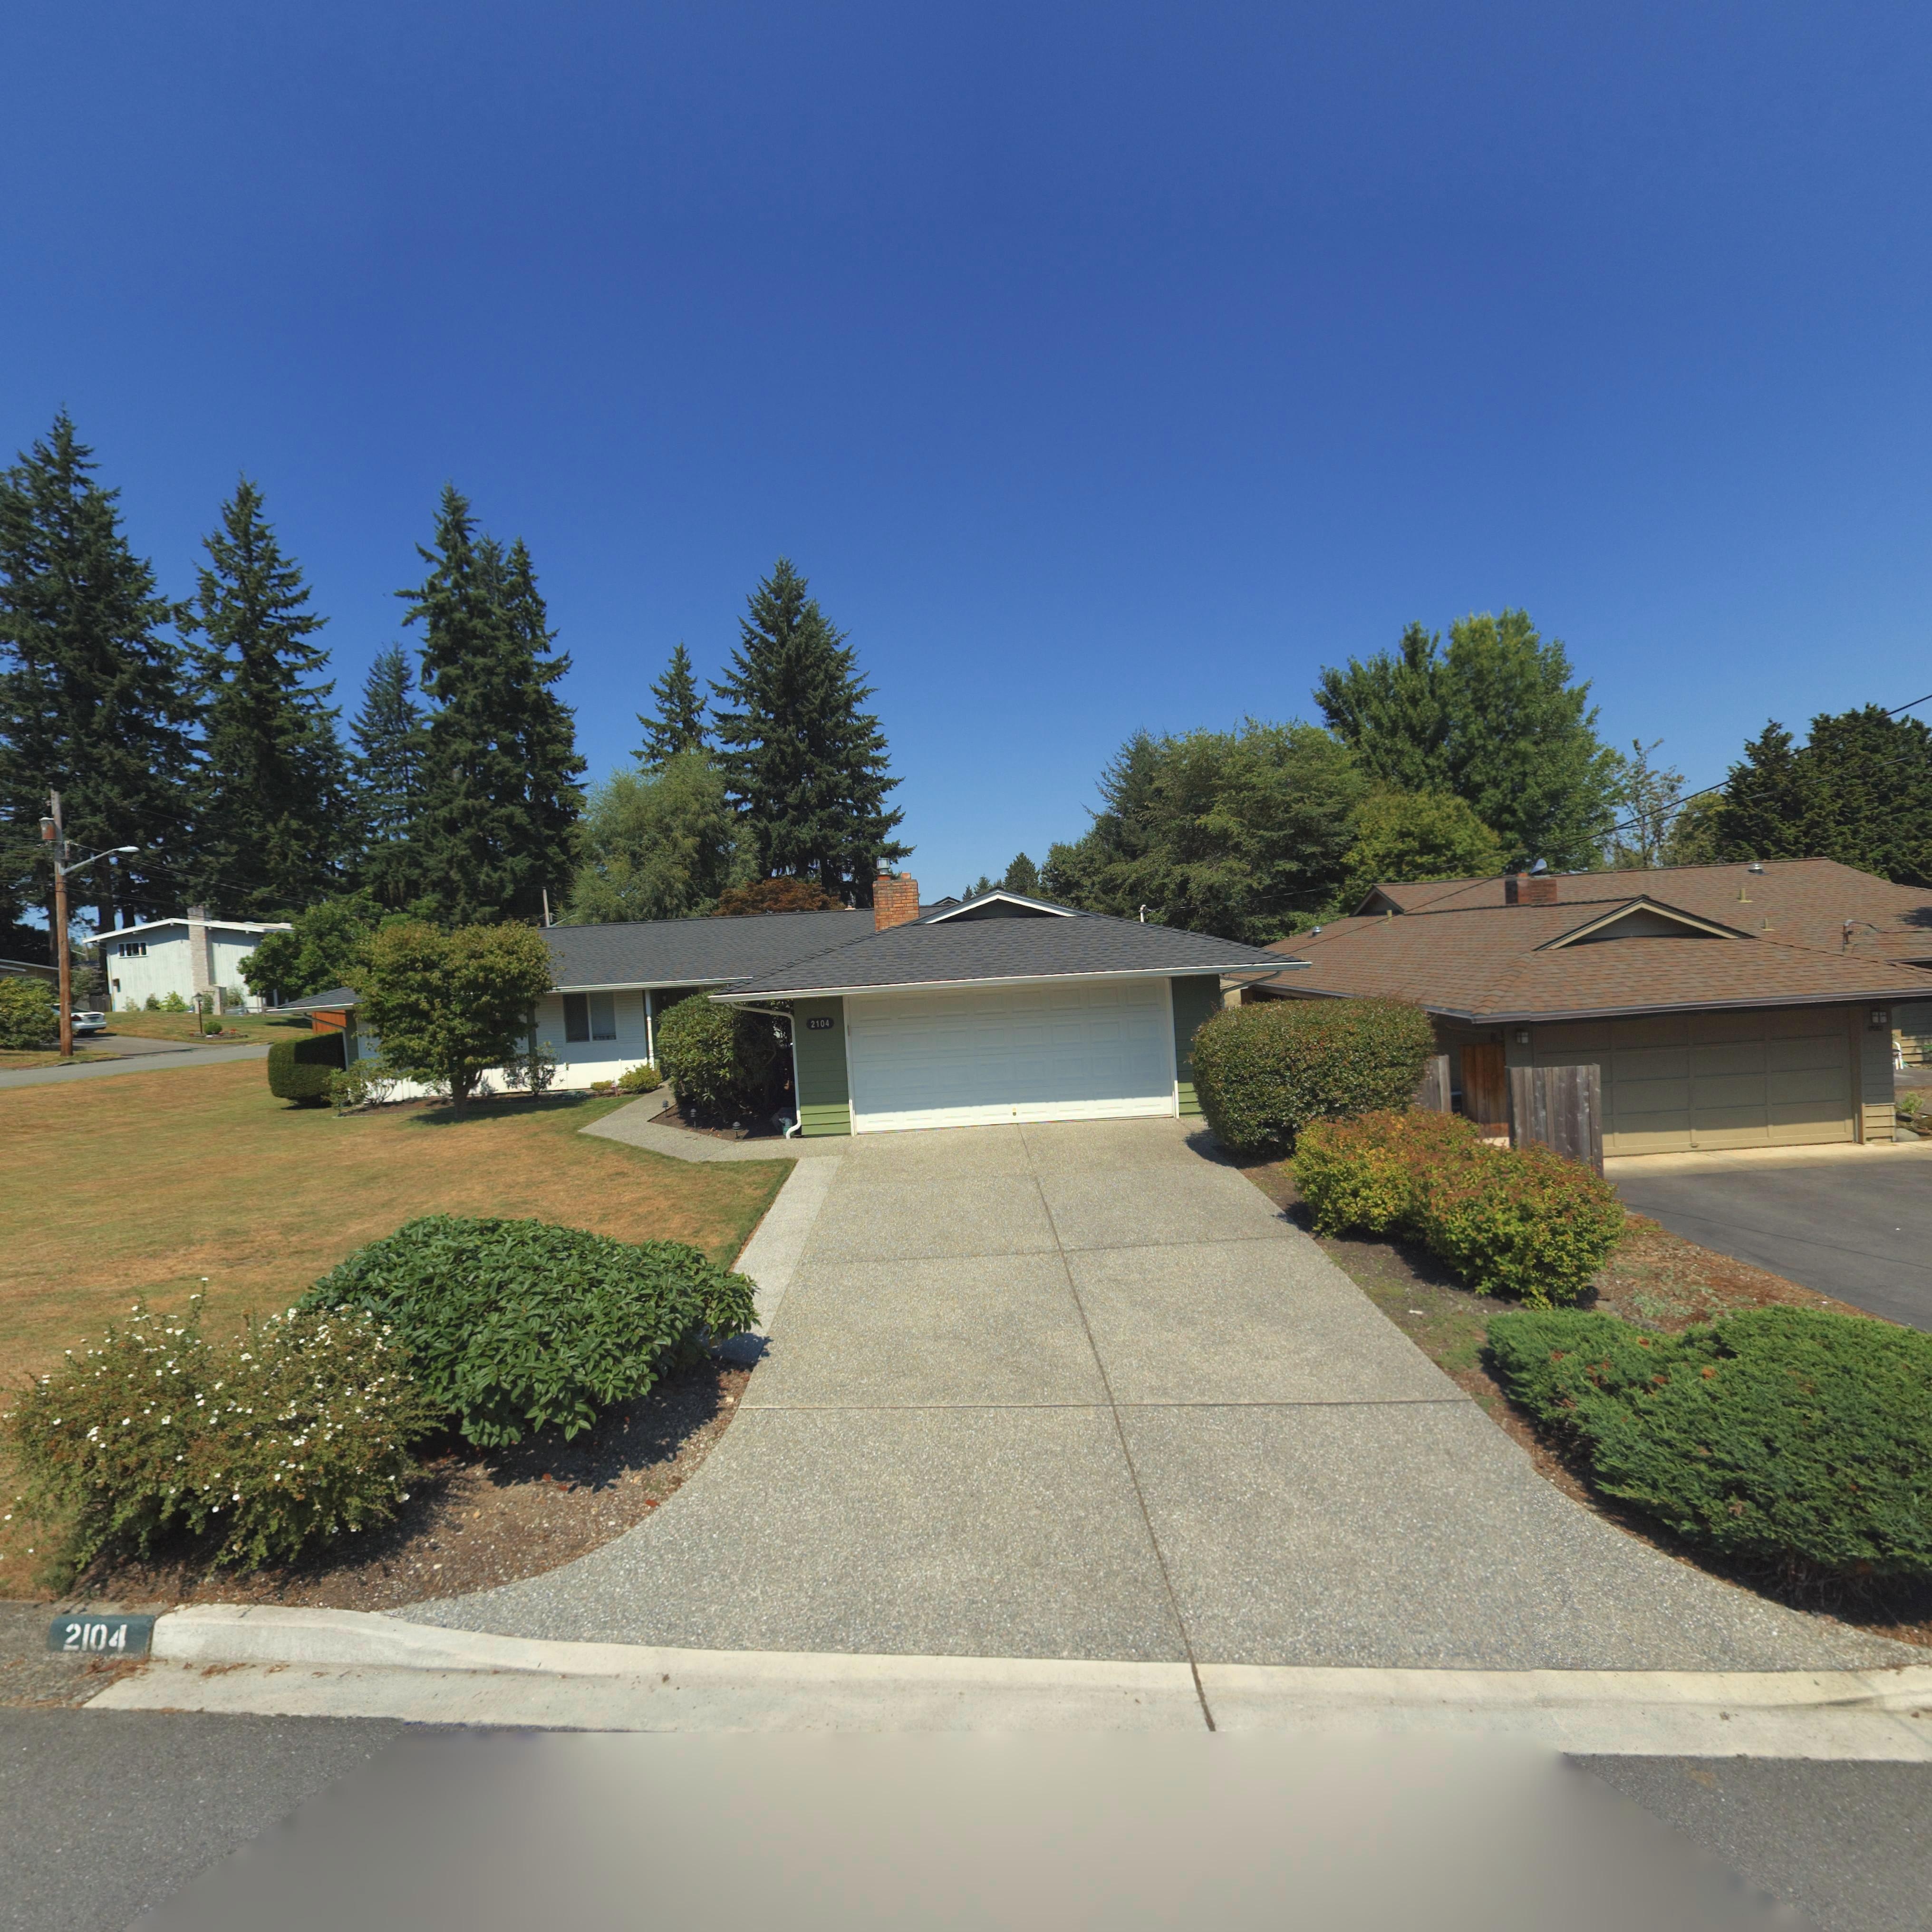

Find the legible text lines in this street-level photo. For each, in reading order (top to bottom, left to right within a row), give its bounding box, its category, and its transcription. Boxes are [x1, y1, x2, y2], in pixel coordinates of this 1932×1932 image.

[811, 1019, 830, 1028] StreetNumber: 2104
[61, 1622, 129, 1651] StreetNumber: 2104